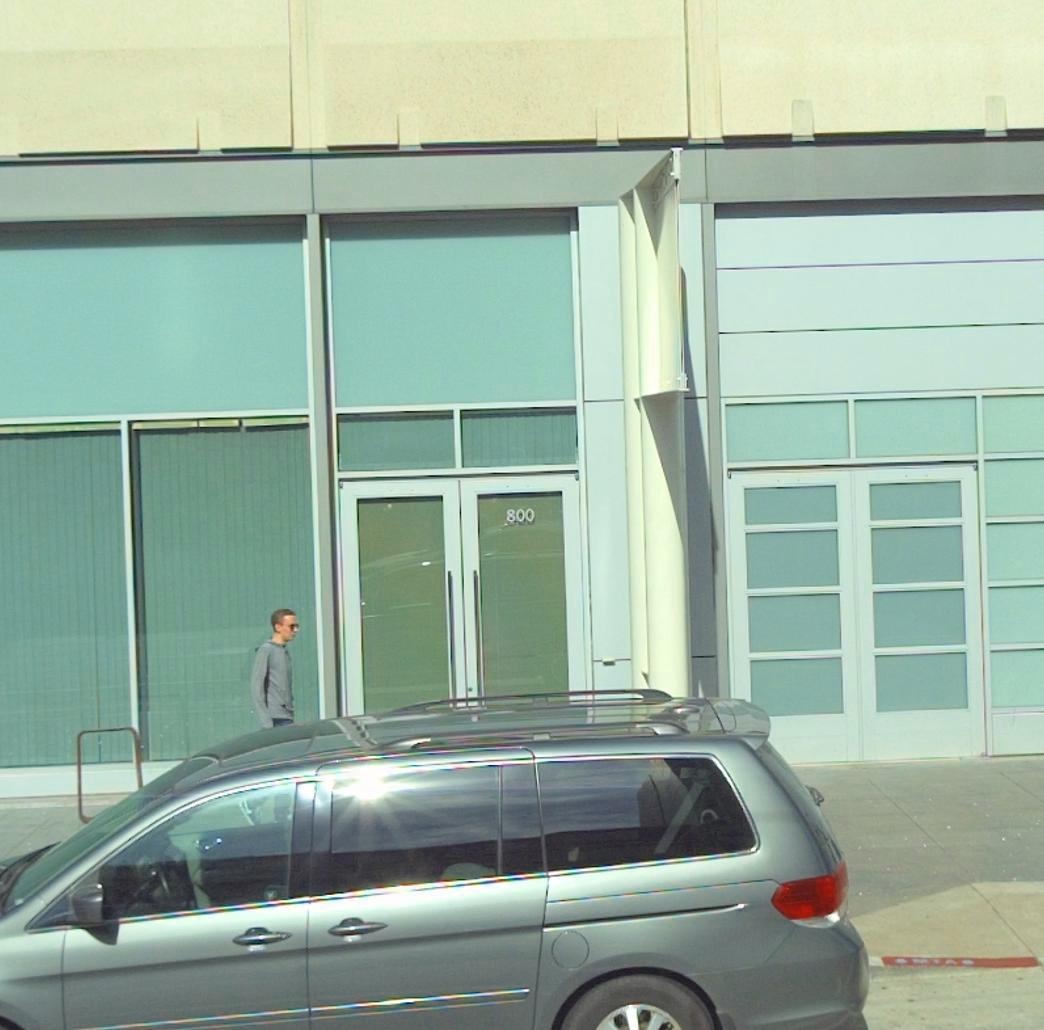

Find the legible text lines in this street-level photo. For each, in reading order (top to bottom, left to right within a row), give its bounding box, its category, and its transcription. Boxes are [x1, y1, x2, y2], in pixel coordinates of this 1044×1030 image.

[504, 504, 538, 527] StreetNumber: 800
[910, 953, 980, 970] None: *MTA*